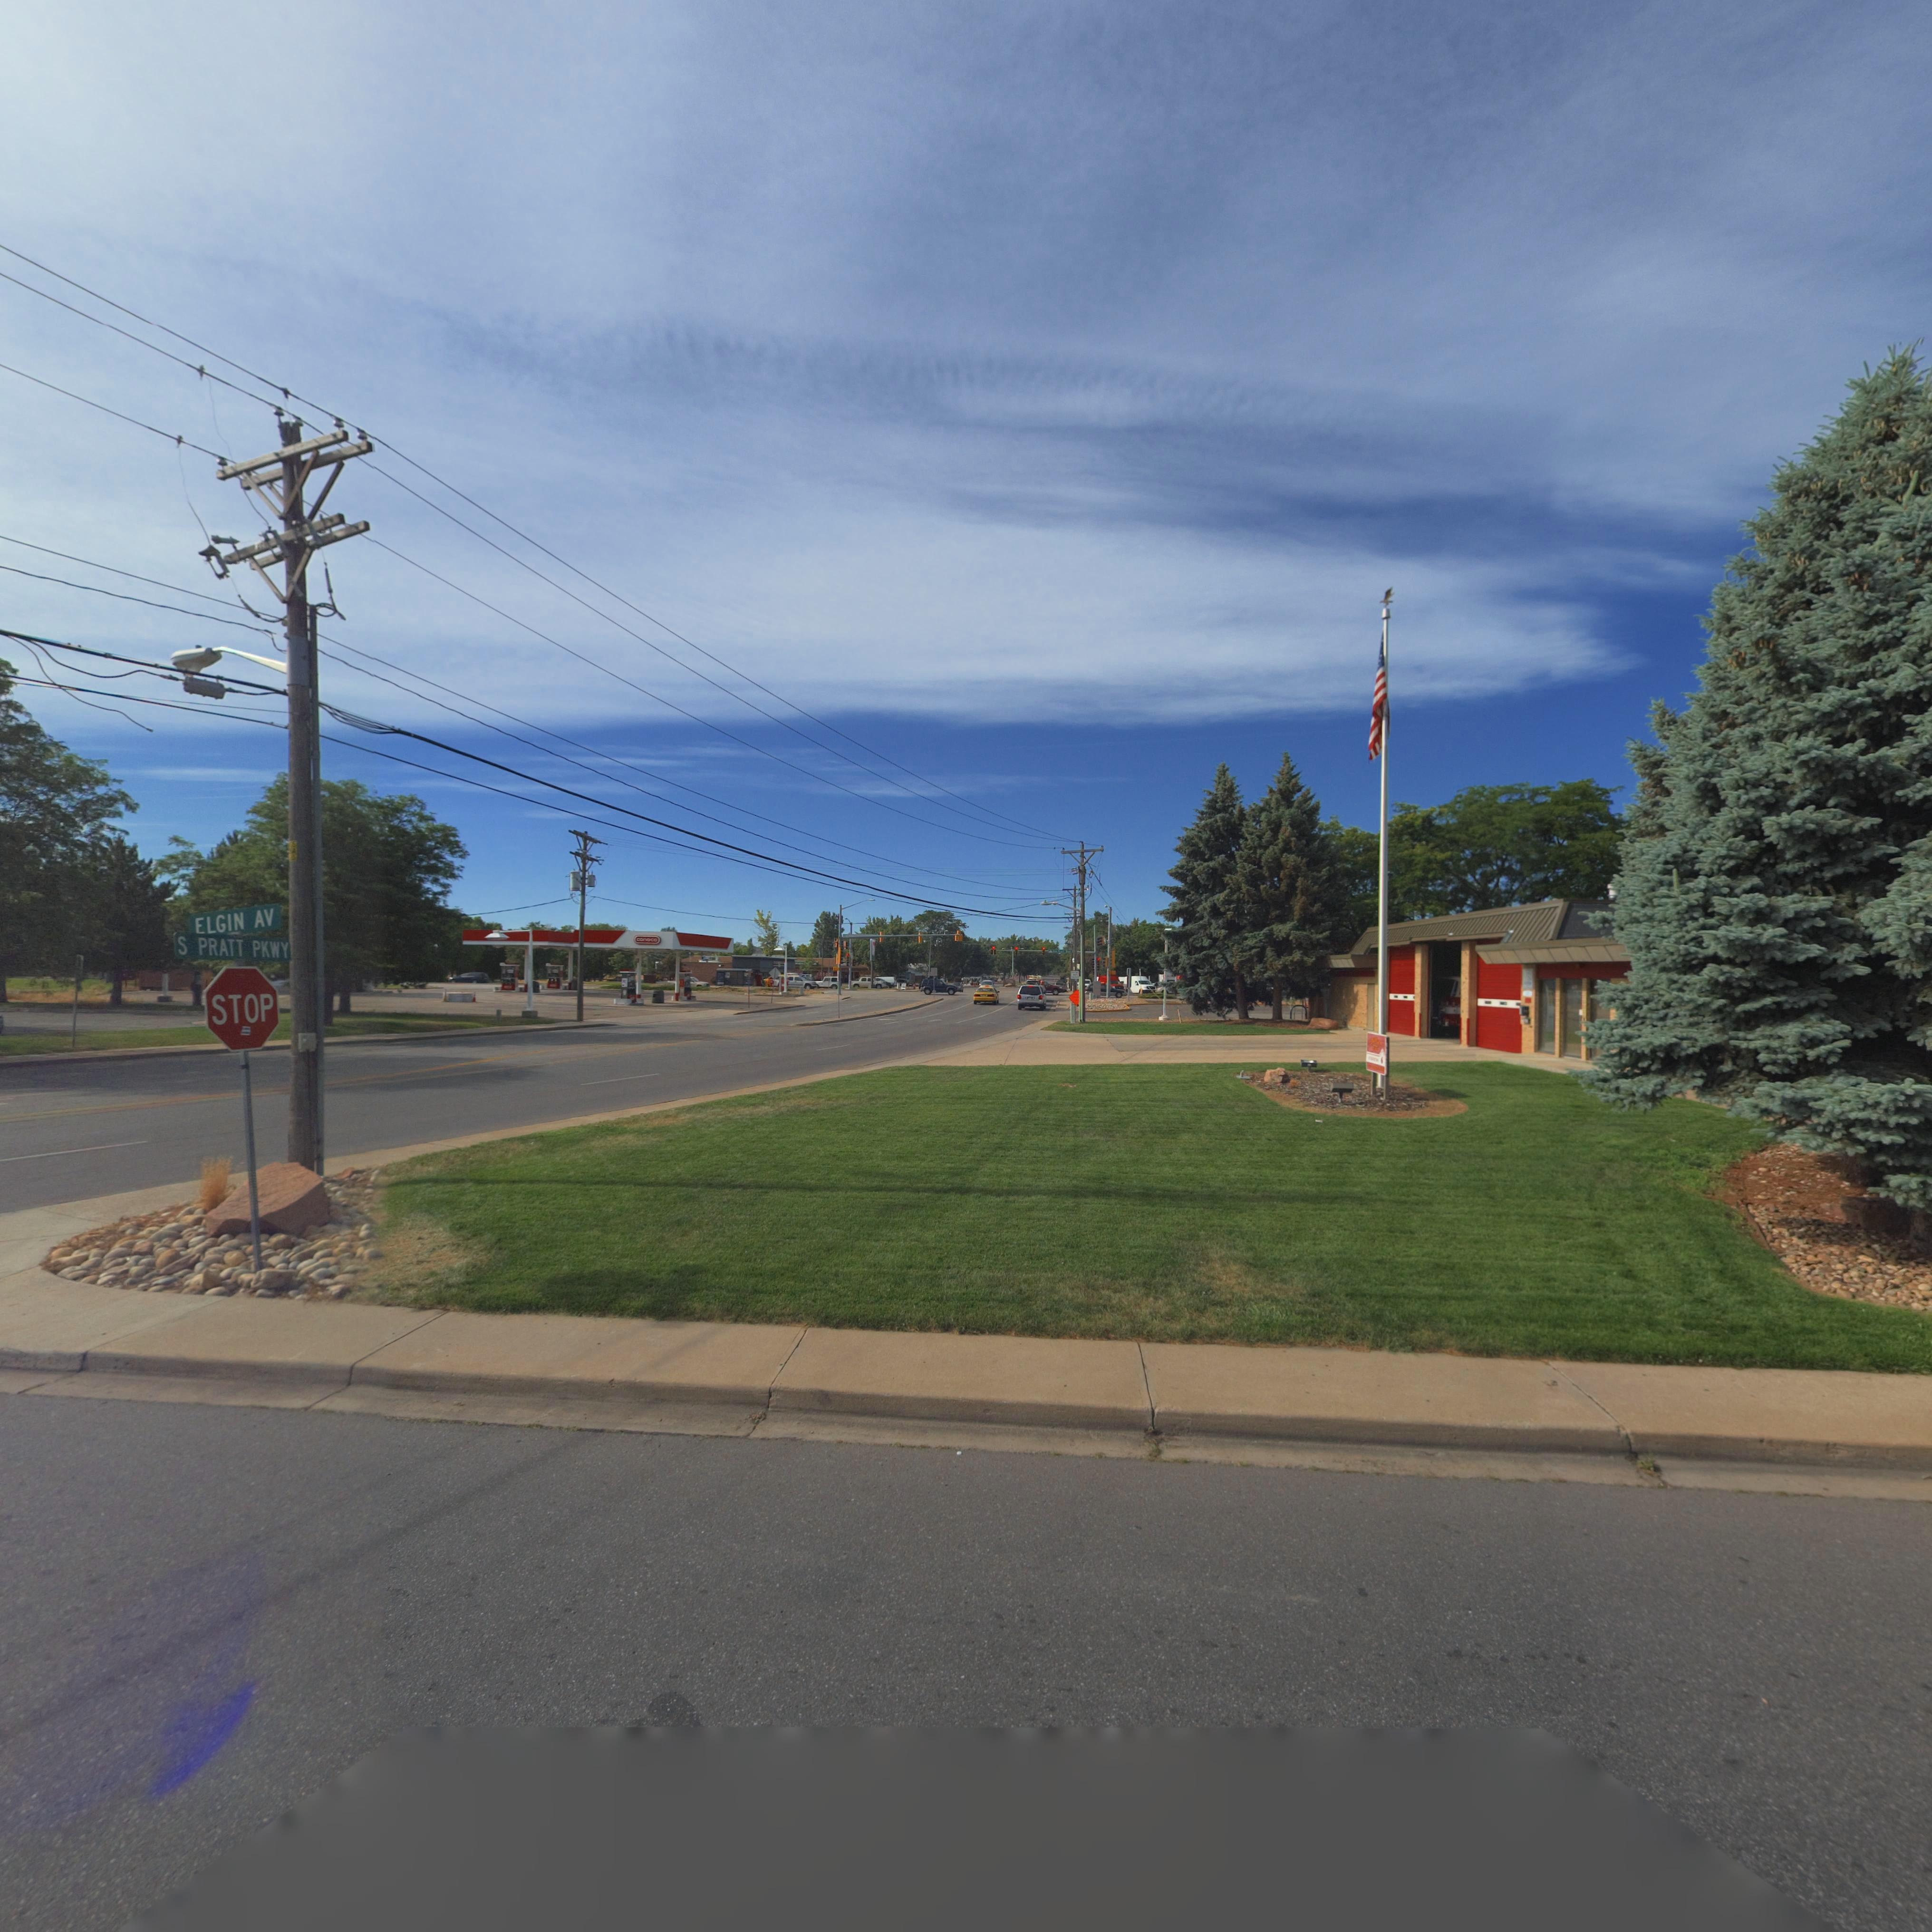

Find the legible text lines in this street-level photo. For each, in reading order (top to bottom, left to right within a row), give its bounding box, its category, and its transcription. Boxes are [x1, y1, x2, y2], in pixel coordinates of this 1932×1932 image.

[194, 907, 274, 934] StreetName: ELGIN AV
[176, 936, 290, 959] StreetName: S PRATT PKWY
[636, 937, 657, 942] BusinessName: conoco